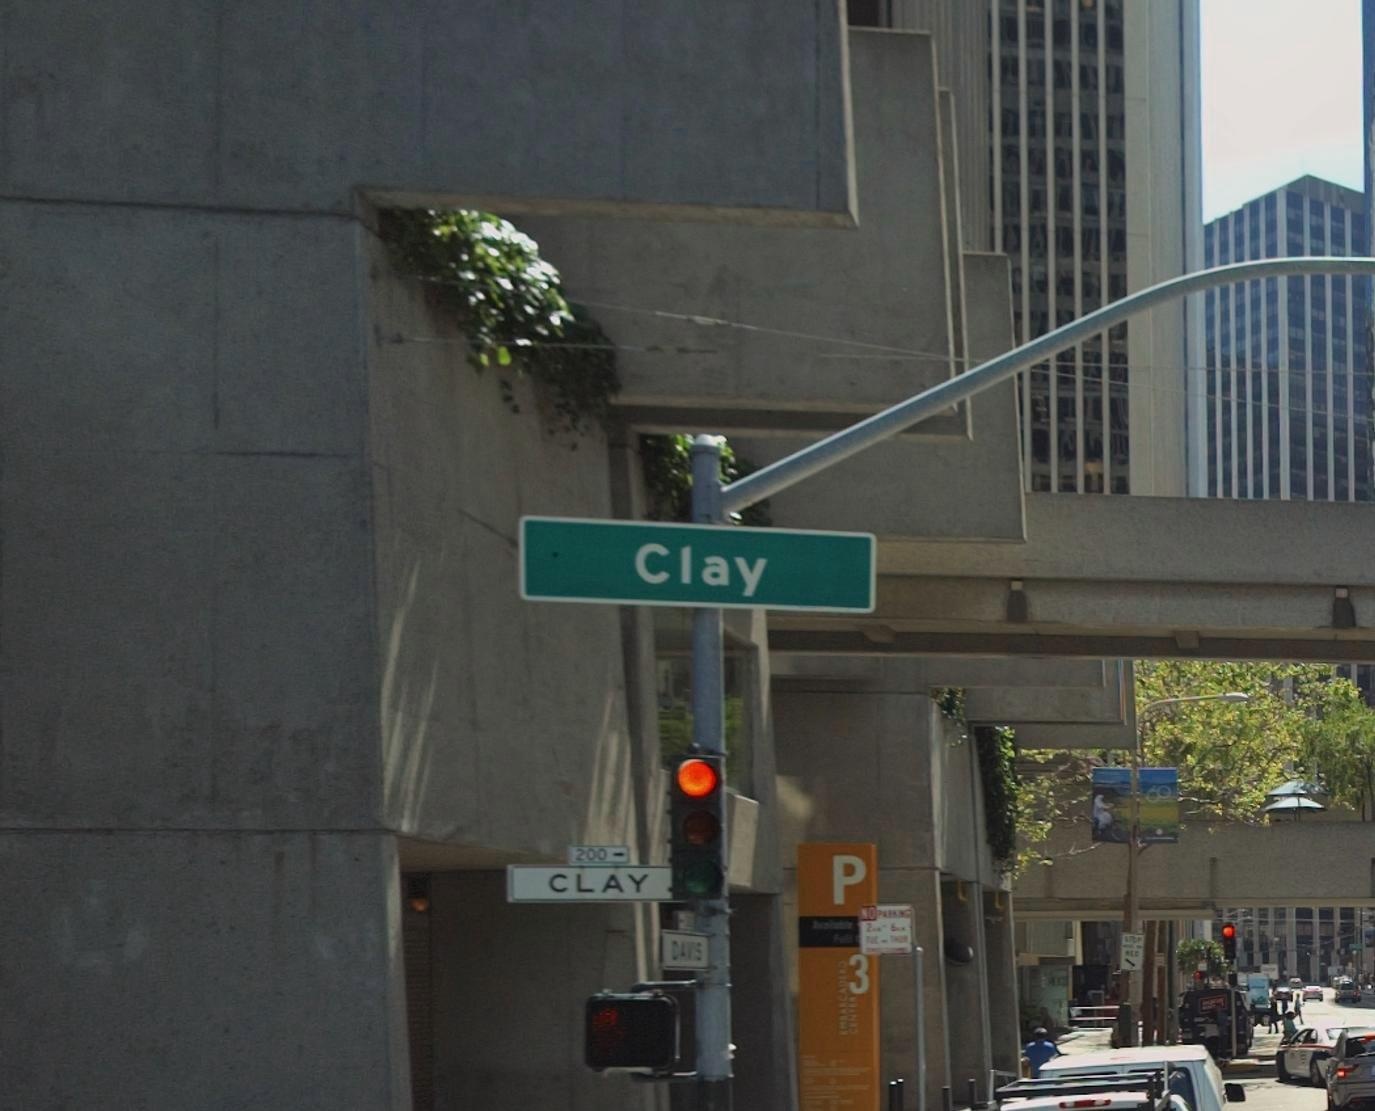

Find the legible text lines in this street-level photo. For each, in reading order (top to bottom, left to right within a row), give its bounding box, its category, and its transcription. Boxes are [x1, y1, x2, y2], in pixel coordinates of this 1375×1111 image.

[632, 539, 775, 602] StreetName: Clay
[1143, 781, 1173, 803] None: 60
[572, 846, 629, 863] StreetNumberRange: 200->
[544, 872, 653, 897] StreetName: CLAY
[828, 850, 871, 909] None: P
[860, 905, 913, 920] None: NO PARKING
[667, 937, 711, 968] StreetName: DAV*S
[847, 953, 871, 994] None: 3